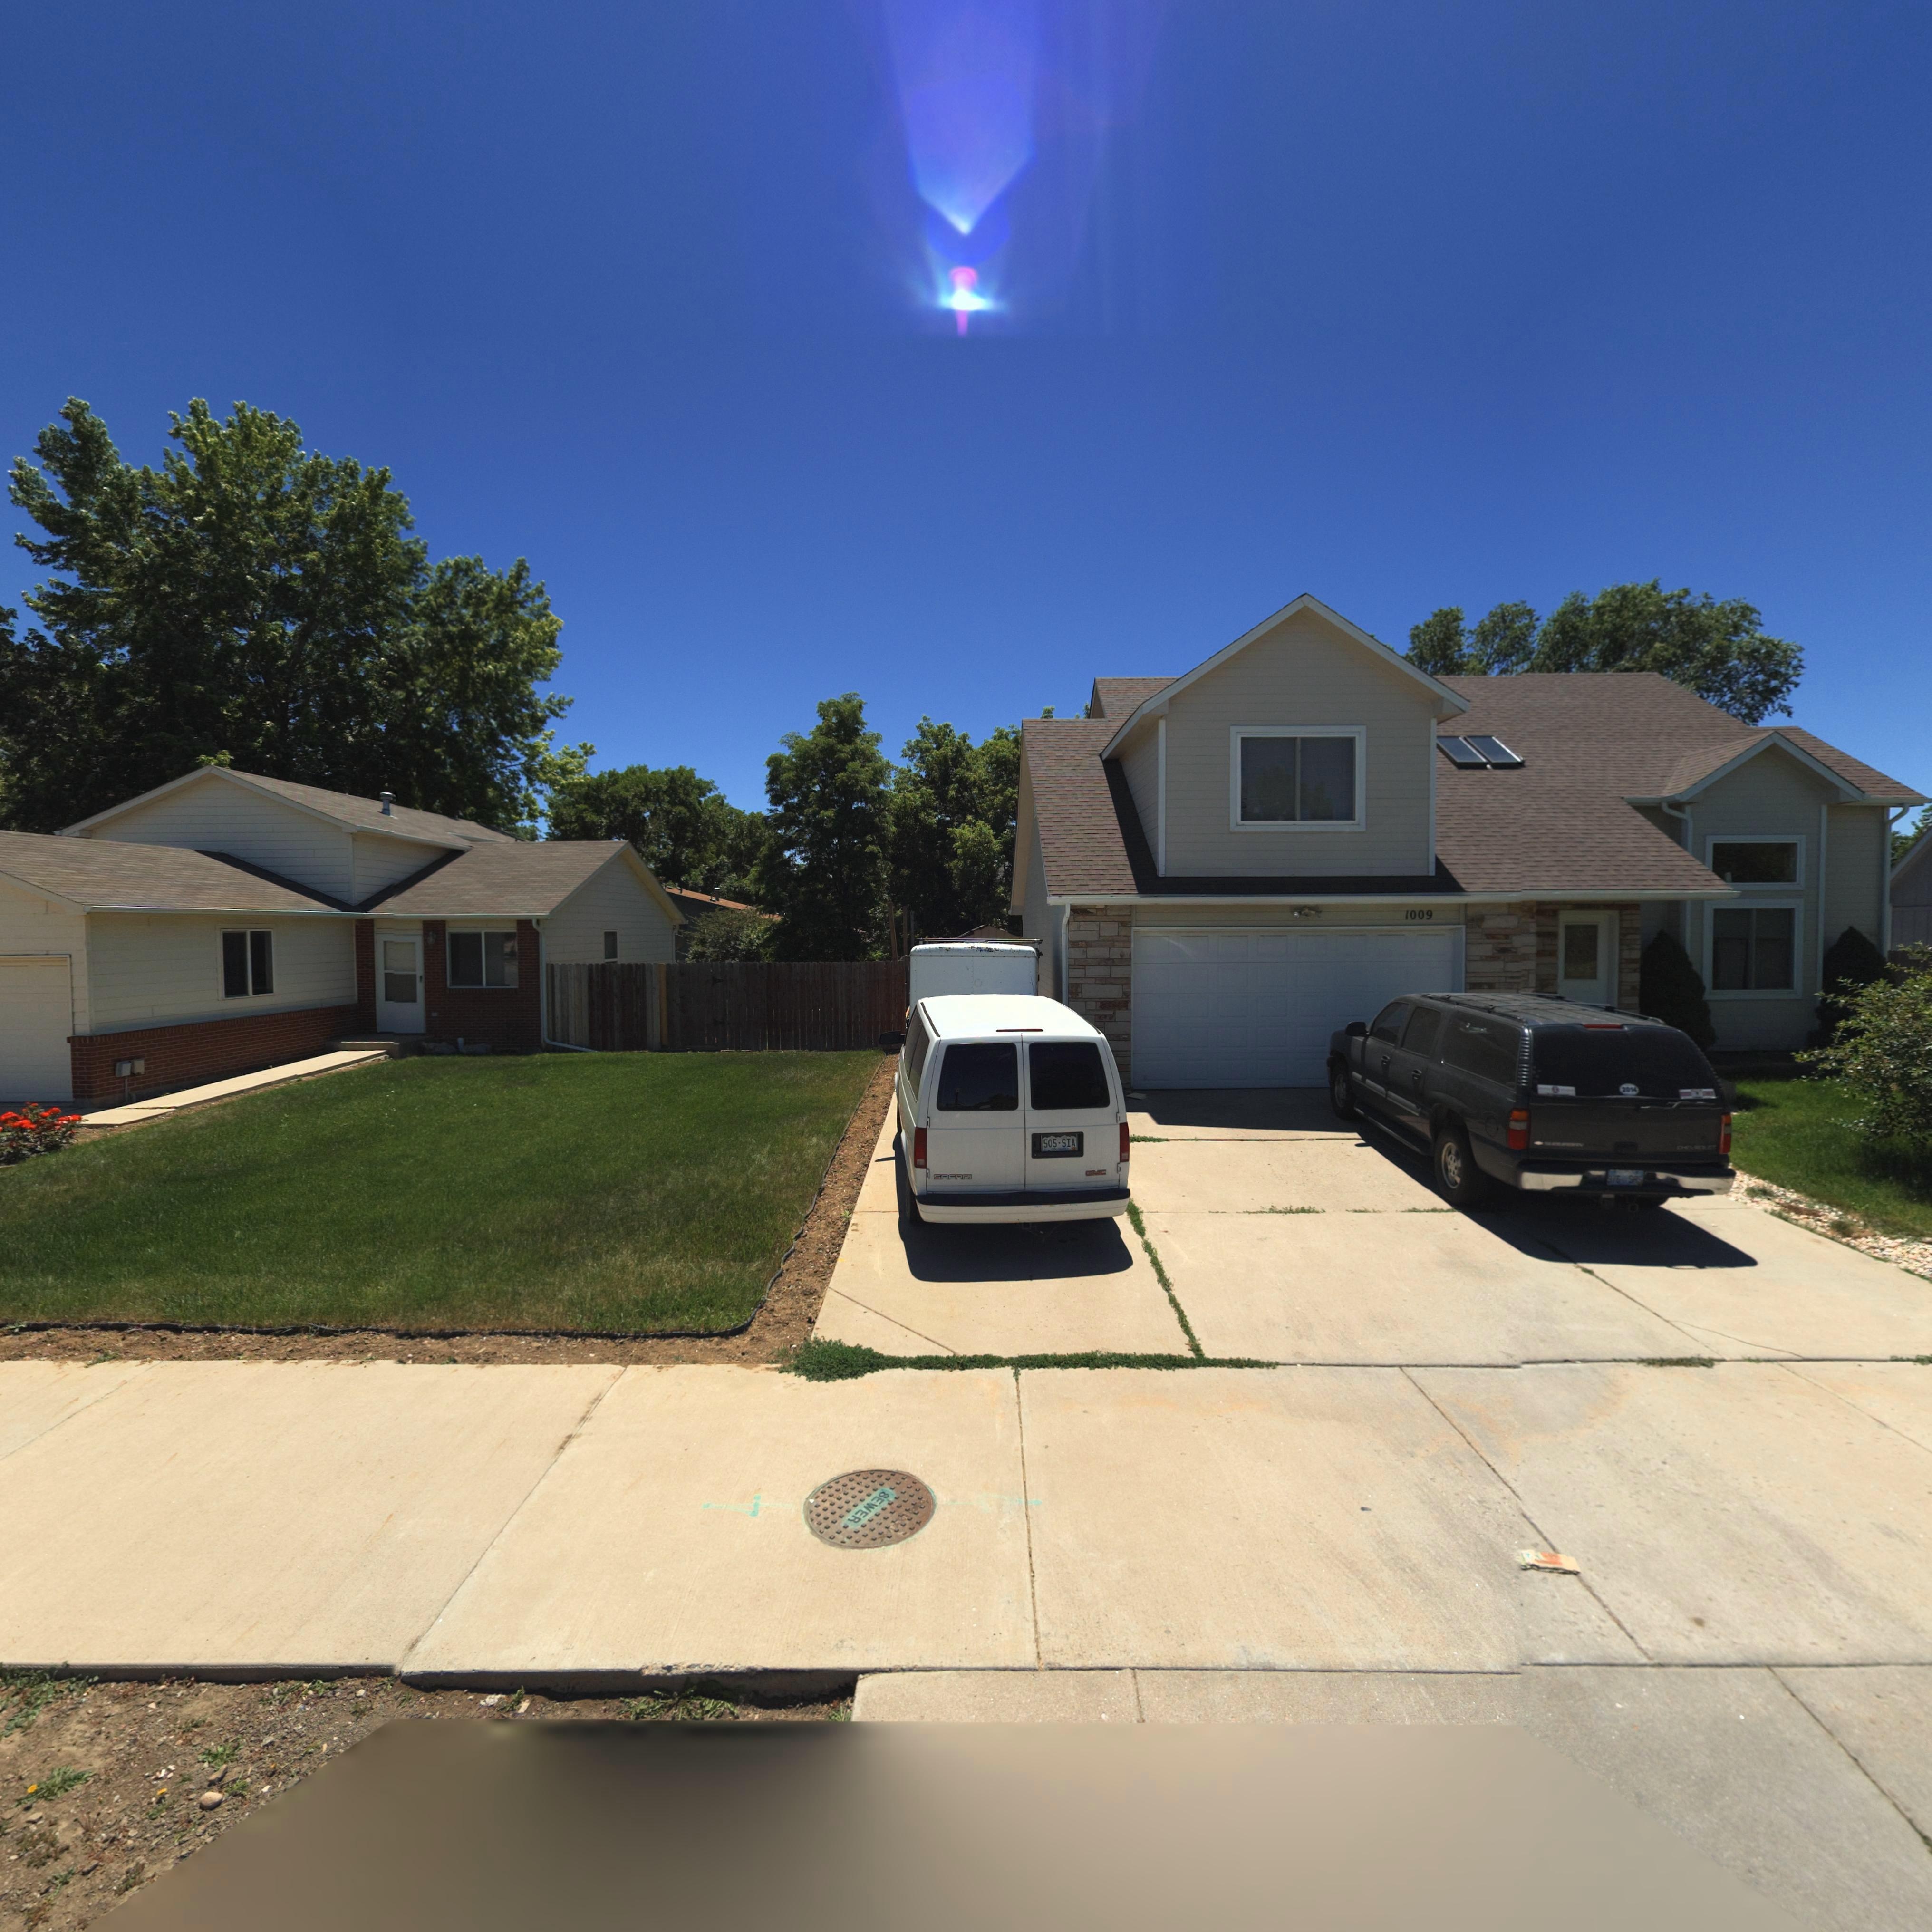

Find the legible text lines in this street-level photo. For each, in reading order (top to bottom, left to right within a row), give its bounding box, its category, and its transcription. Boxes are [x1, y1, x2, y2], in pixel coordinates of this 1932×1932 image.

[1404, 909, 1433, 920] StreetNumber: 1009